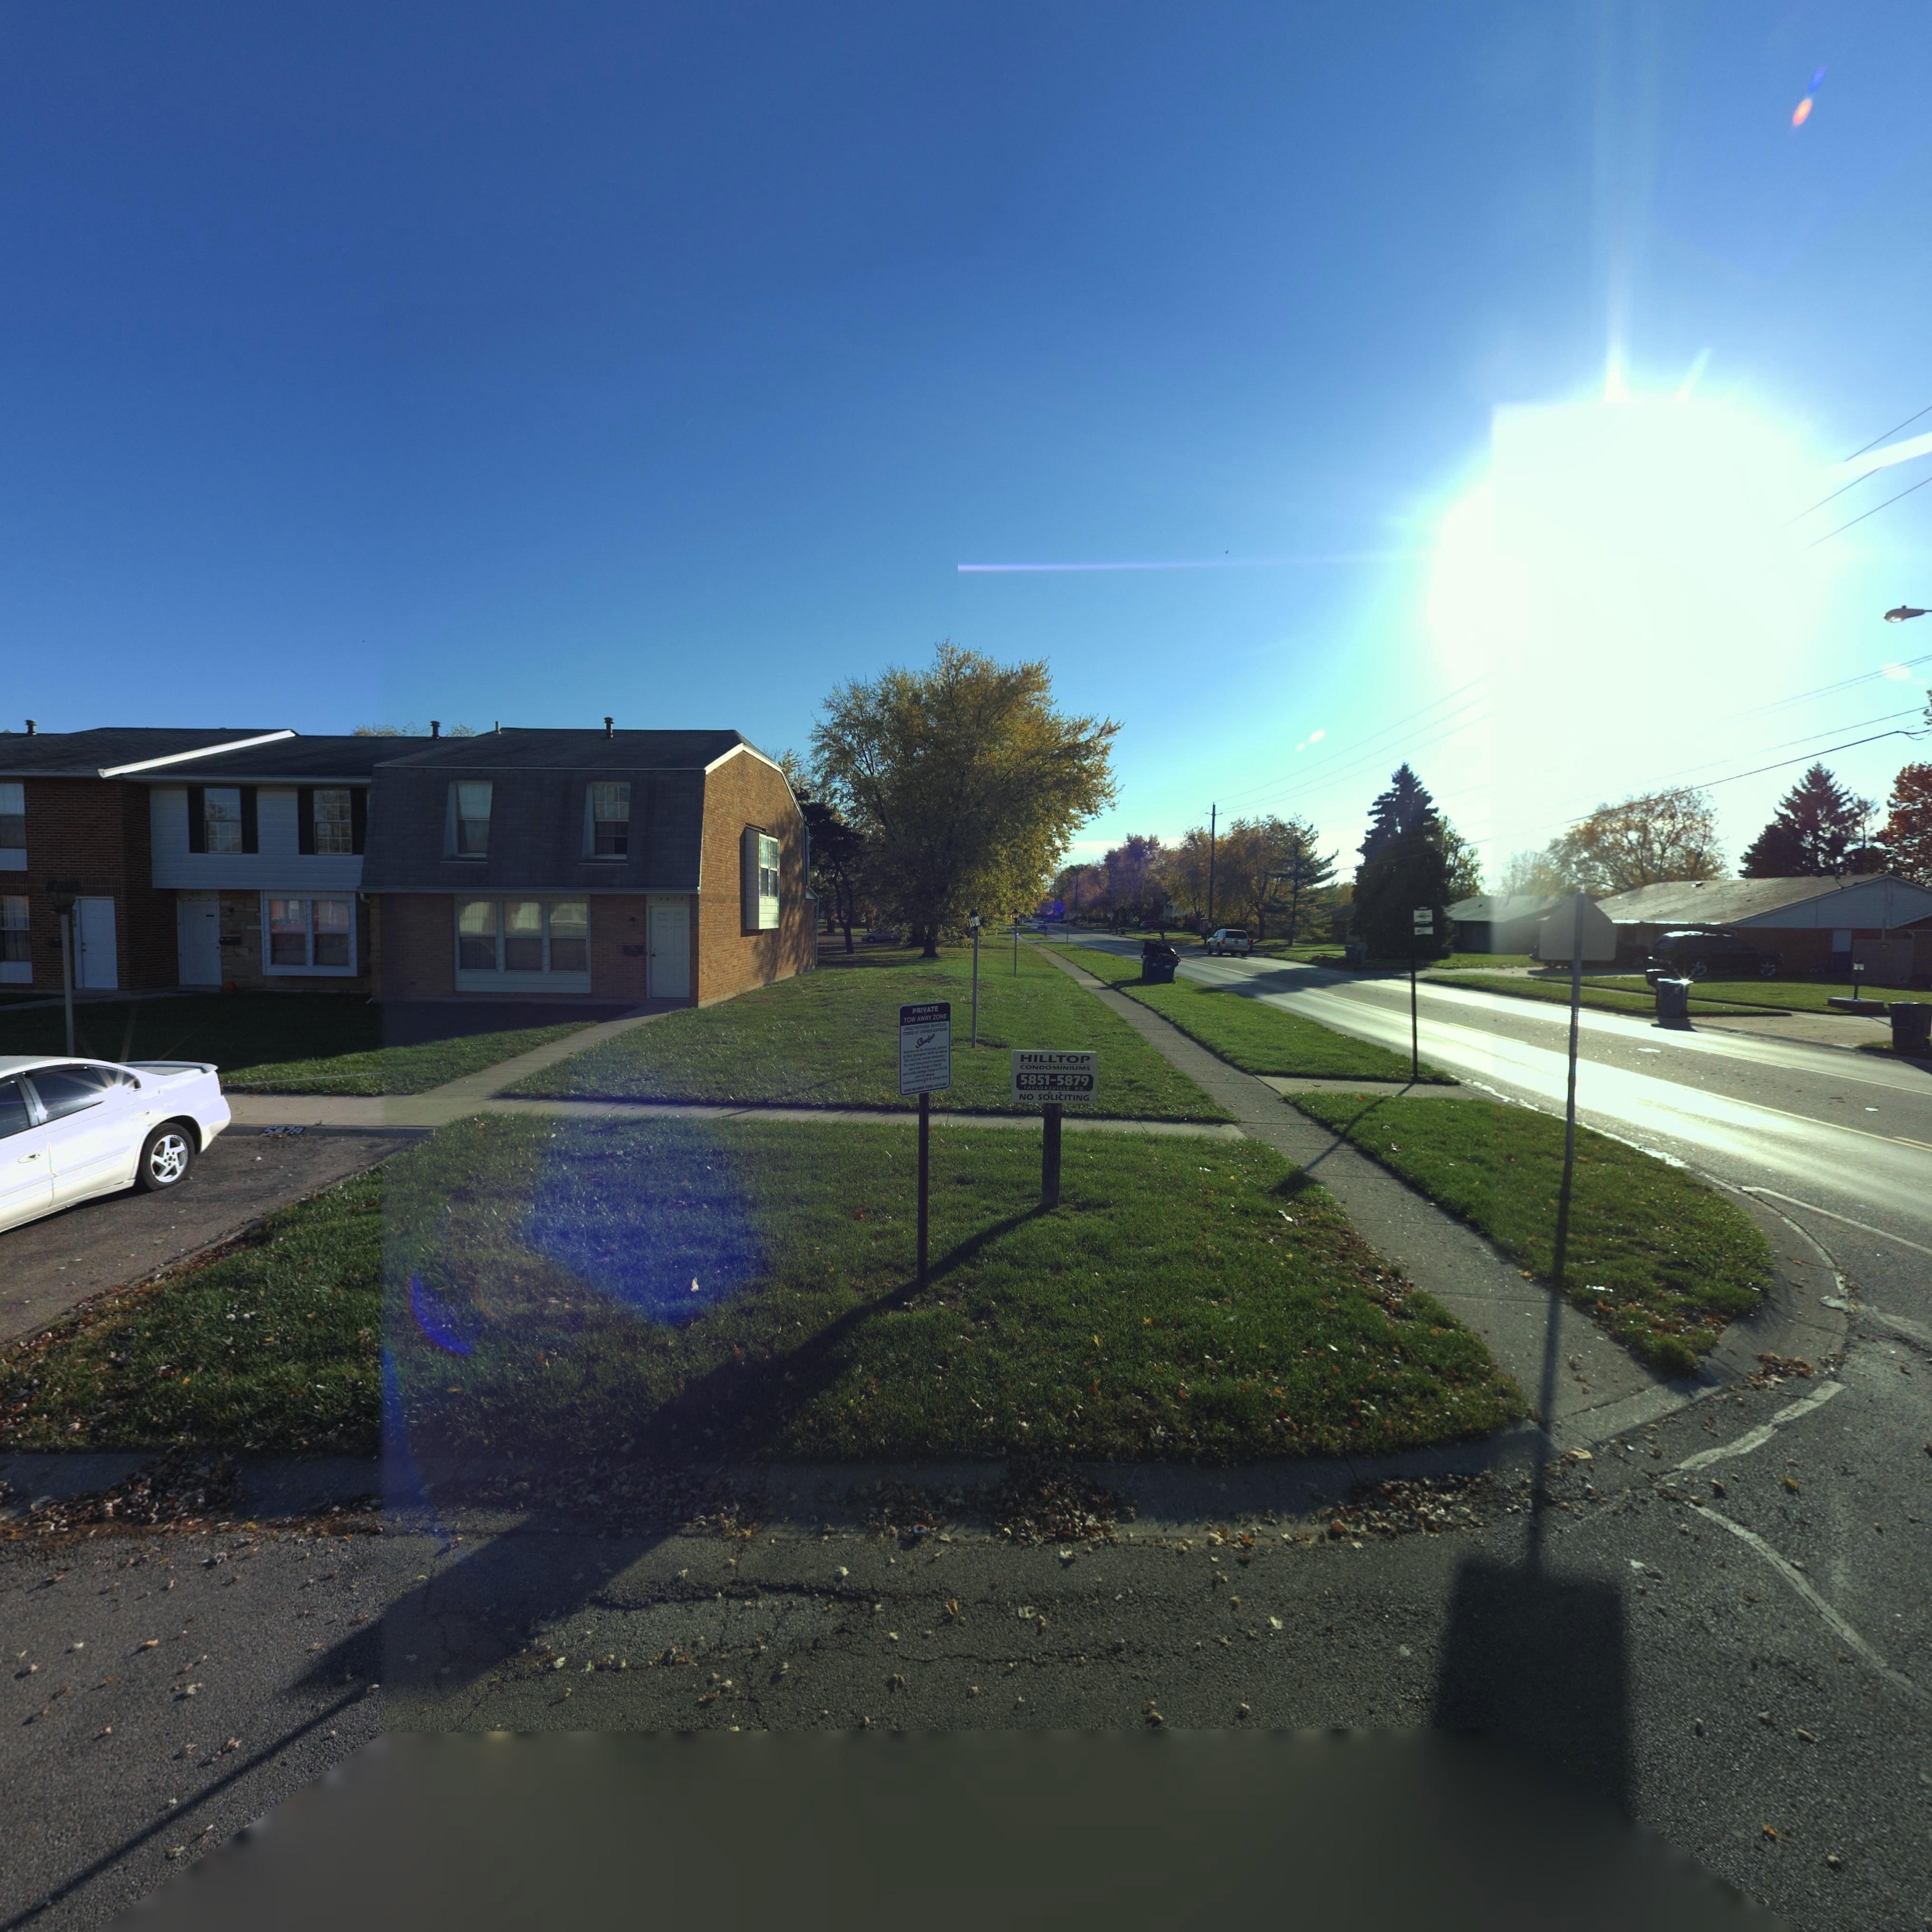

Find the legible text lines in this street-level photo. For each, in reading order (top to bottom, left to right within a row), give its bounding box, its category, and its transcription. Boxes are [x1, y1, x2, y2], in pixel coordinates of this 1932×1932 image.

[658, 895, 685, 903] StreetNumber: *87*